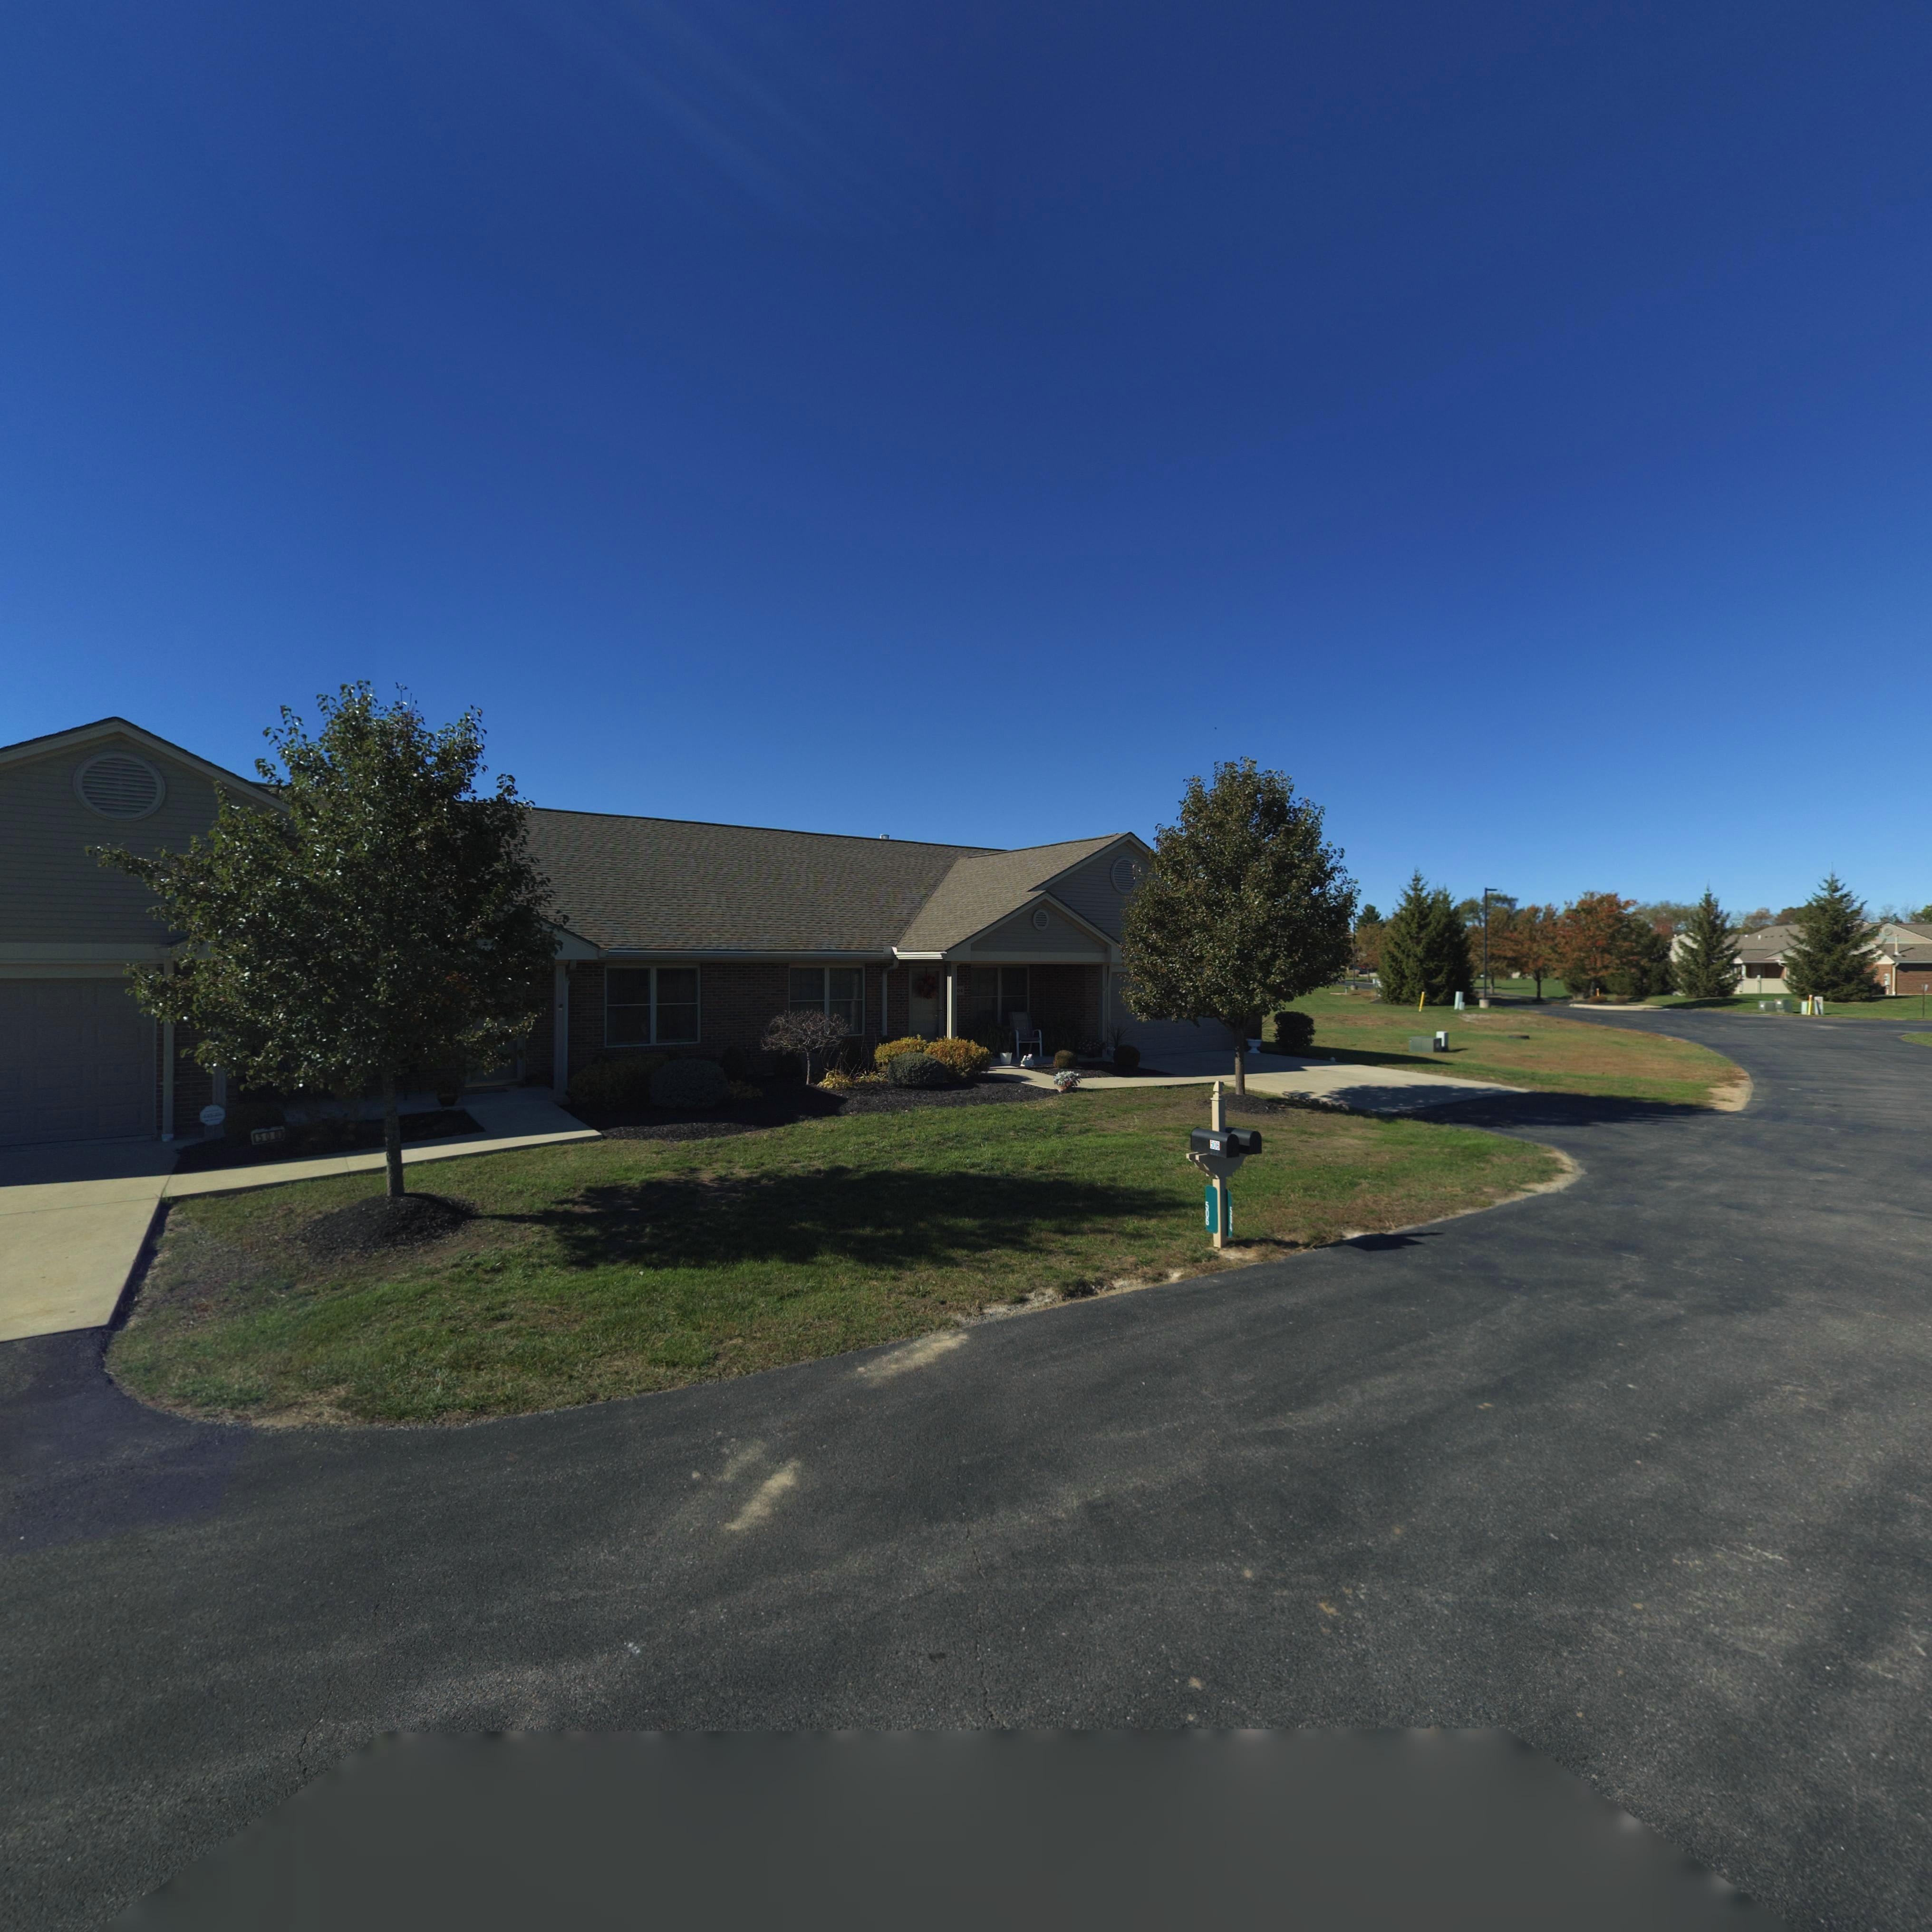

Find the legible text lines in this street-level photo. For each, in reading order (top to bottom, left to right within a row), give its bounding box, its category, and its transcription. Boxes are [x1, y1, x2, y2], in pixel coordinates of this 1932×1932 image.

[956, 988, 963, 993] StreetNumber: 04
[257, 1130, 280, 1142] StreetNumber: 506
[1210, 1140, 1220, 1150] StreetNumber: 506
[1205, 1200, 1209, 1226] StreetNumber: 506
[1229, 1206, 1233, 1232] StreetNumber: 504